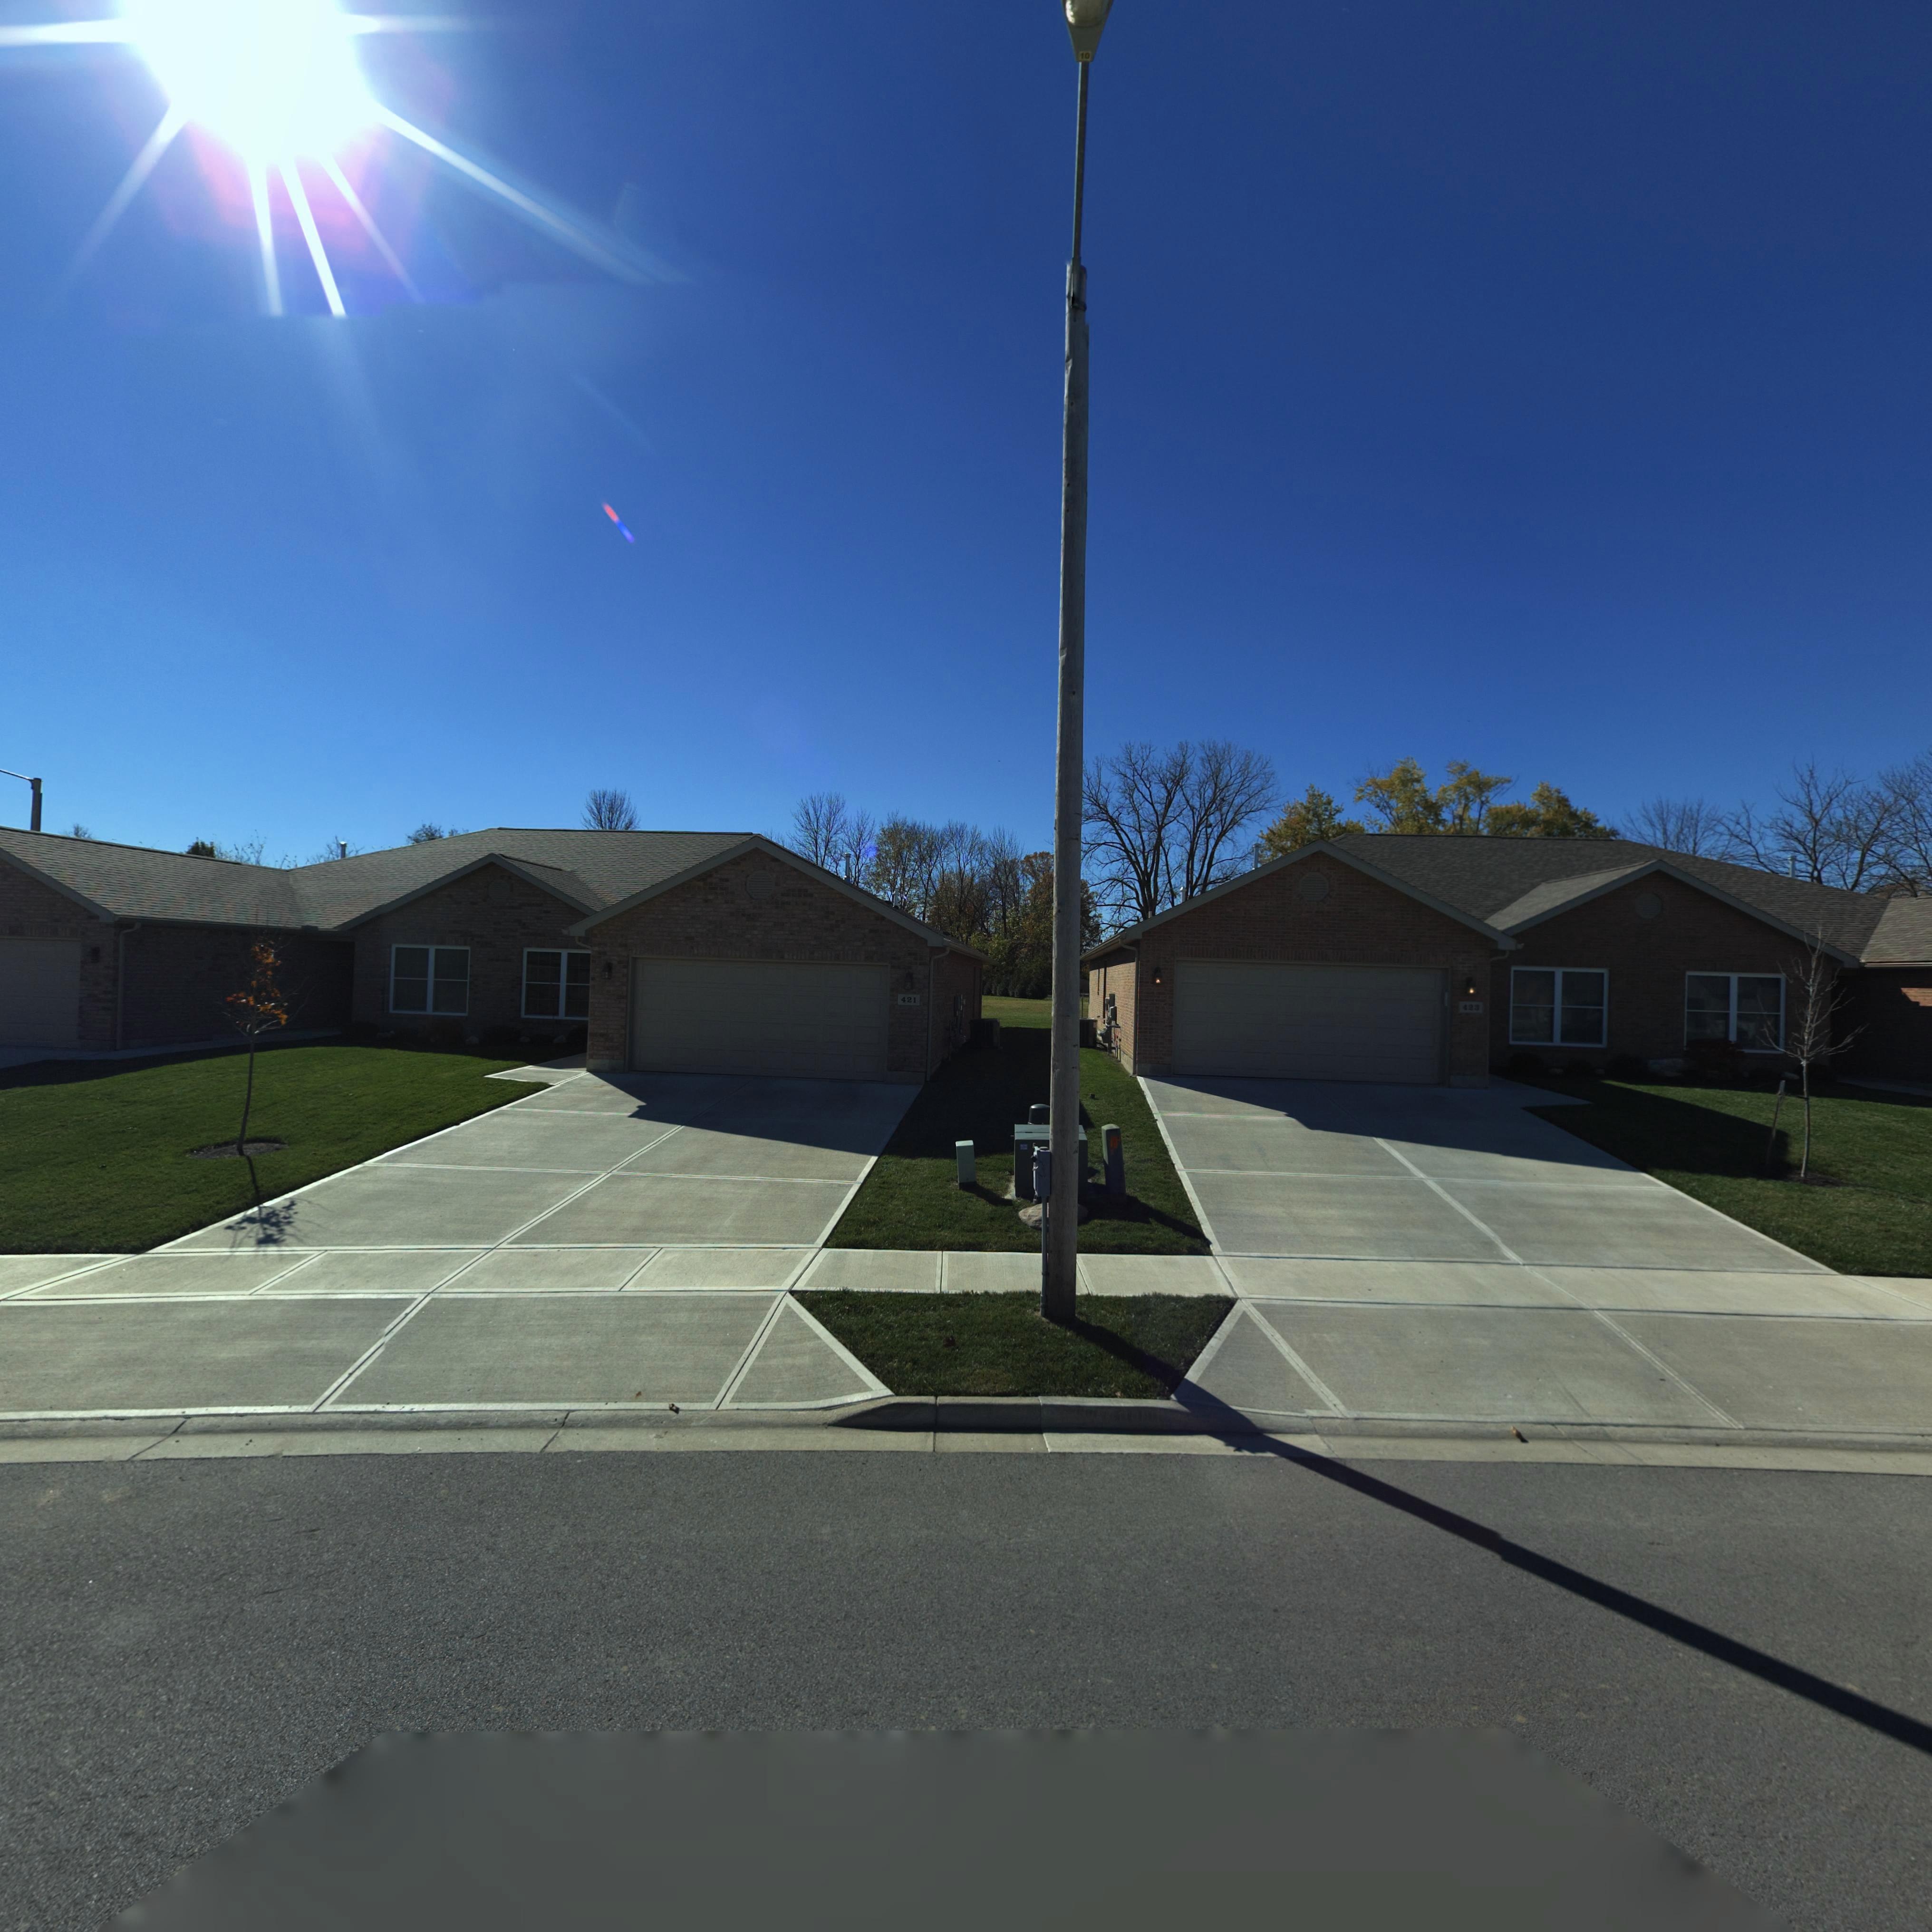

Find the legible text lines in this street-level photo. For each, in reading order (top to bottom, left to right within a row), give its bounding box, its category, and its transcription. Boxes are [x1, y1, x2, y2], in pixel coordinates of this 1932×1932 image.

[900, 996, 917, 1004] StreetNumber: 421
[1461, 1003, 1480, 1012] StreetNumber: 423